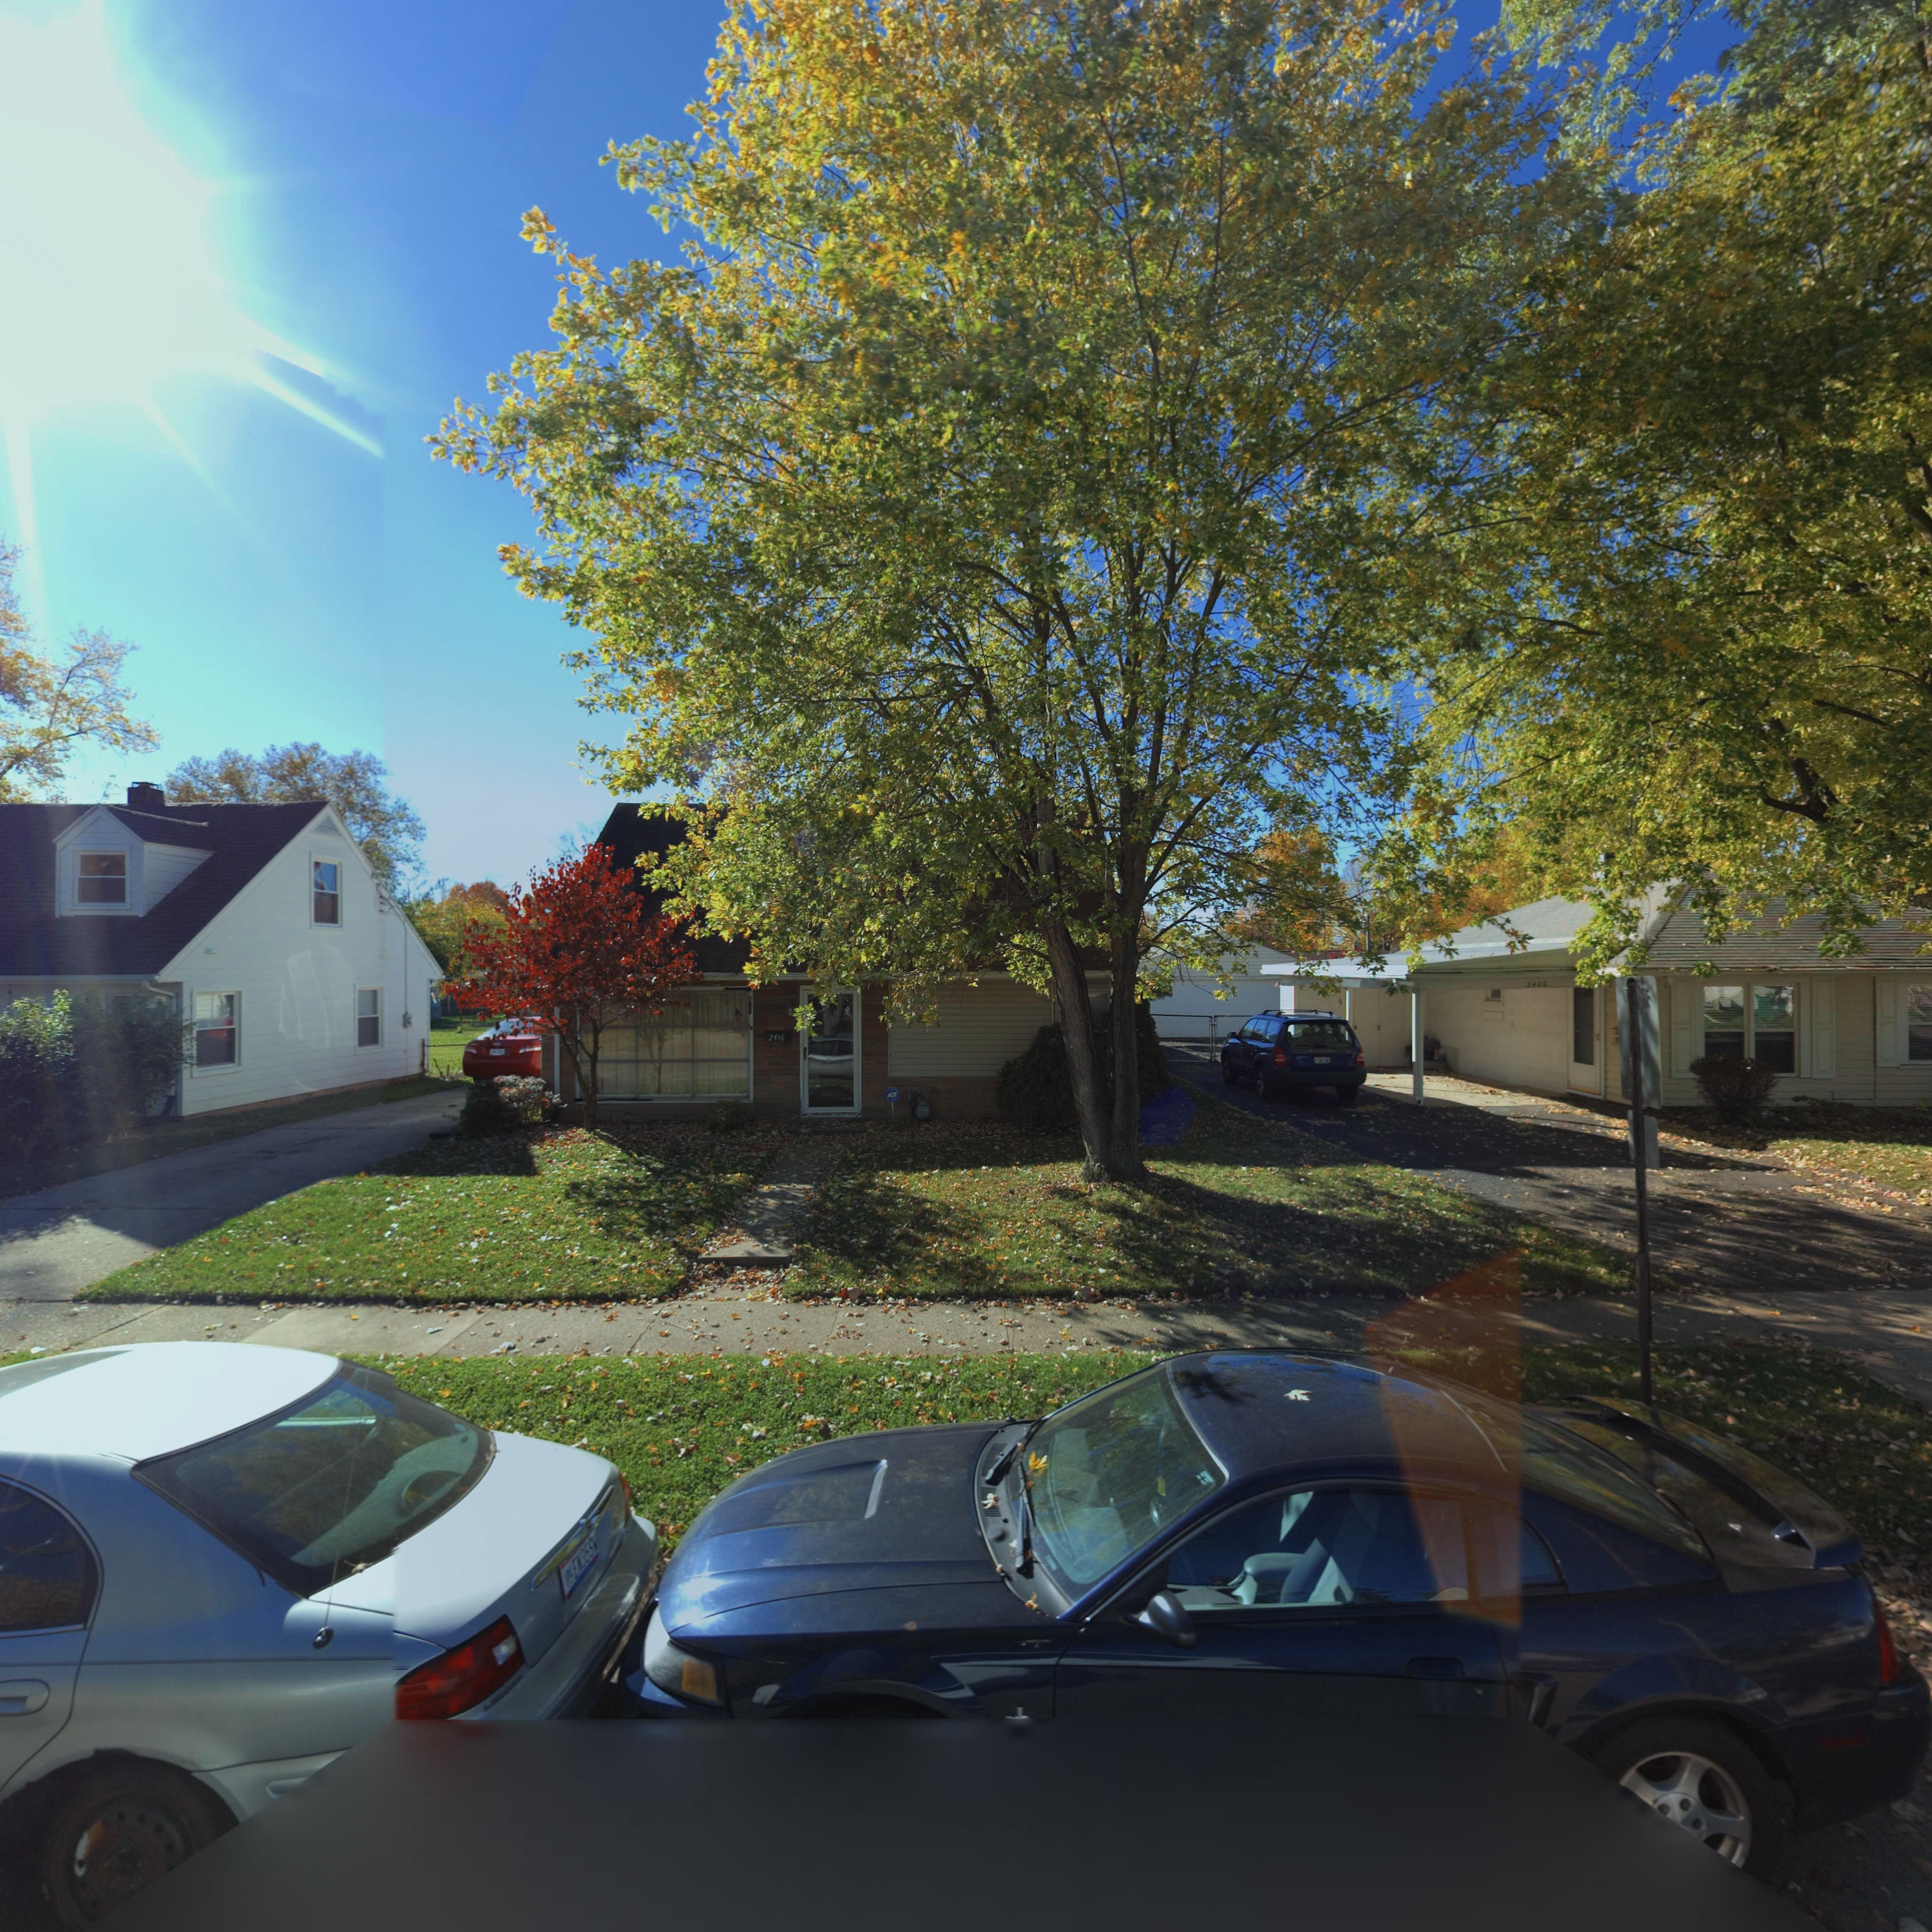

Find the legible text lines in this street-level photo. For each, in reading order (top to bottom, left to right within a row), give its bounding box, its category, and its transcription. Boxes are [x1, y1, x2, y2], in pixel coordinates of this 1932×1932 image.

[1526, 980, 1548, 988] StreetNumber: 2420
[768, 1034, 785, 1042] StreetNumber: 2416
[1317, 1058, 1325, 1063] None: EN7
[886, 1092, 898, 1098] None: ADT
[570, 1535, 595, 1582] None: E*35S